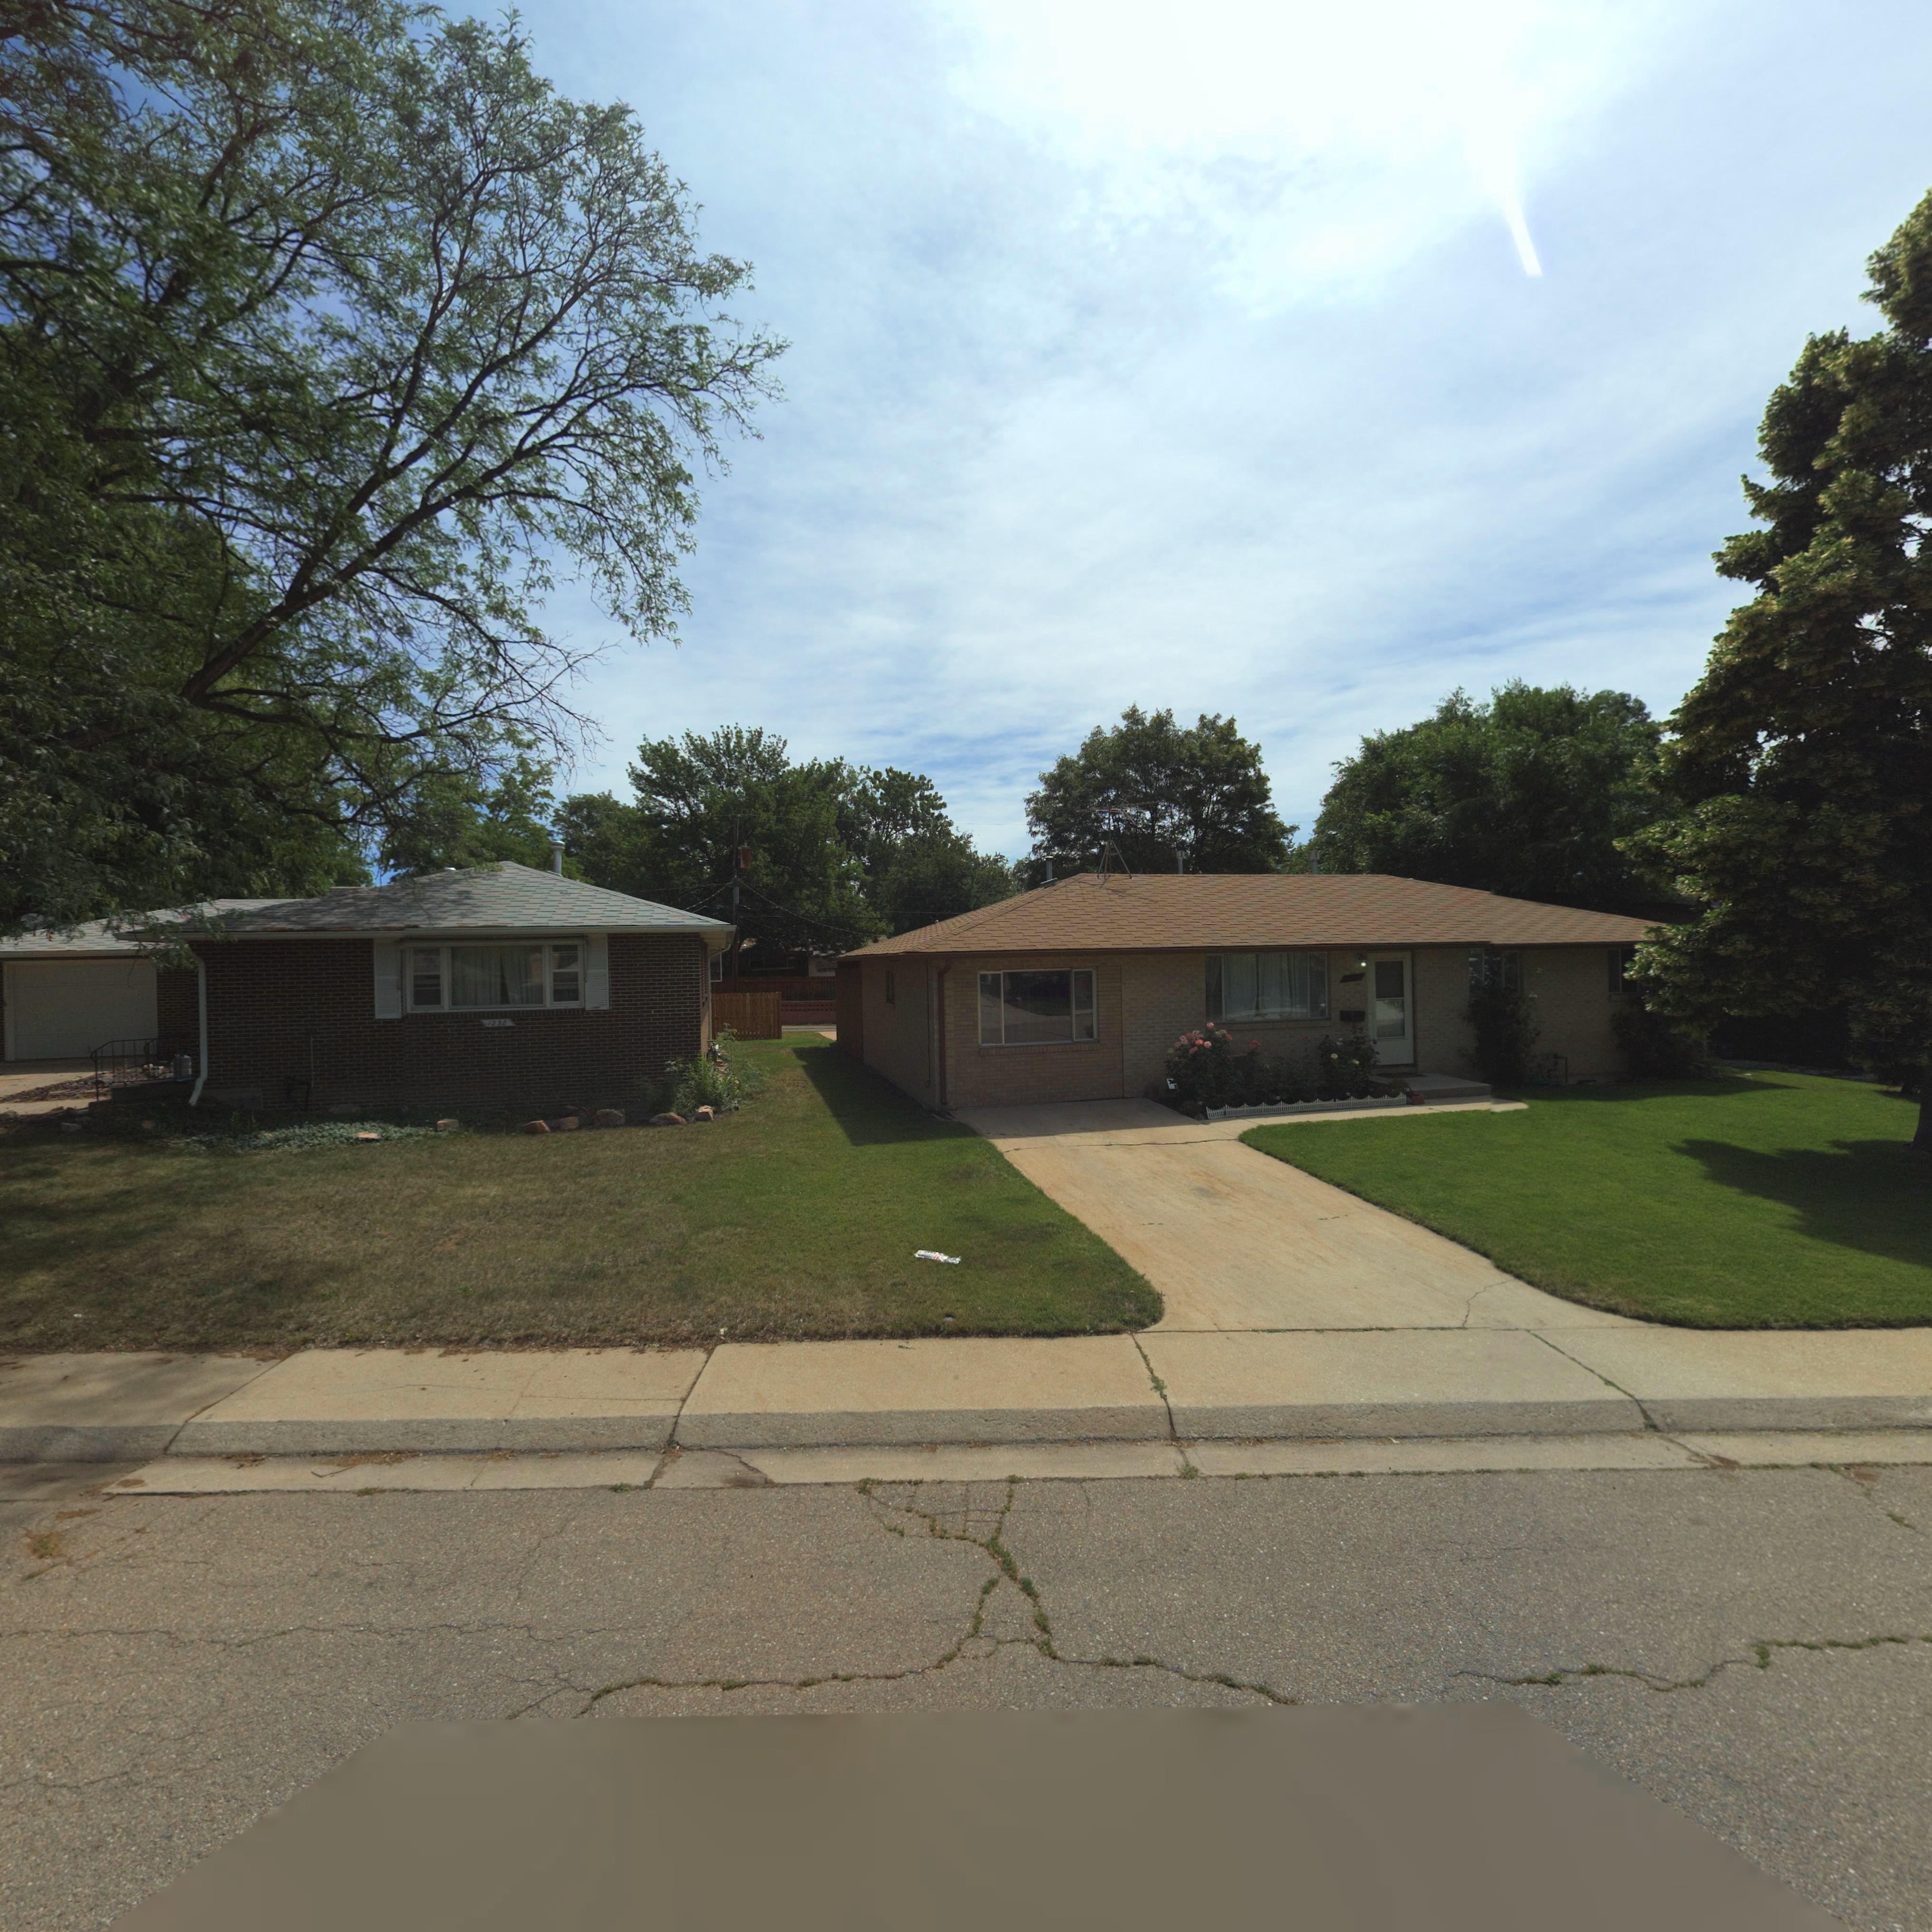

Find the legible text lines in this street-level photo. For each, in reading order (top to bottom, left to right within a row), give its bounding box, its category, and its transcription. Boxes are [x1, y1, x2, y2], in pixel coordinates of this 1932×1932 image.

[487, 1019, 506, 1026] StreetNumber: 1238